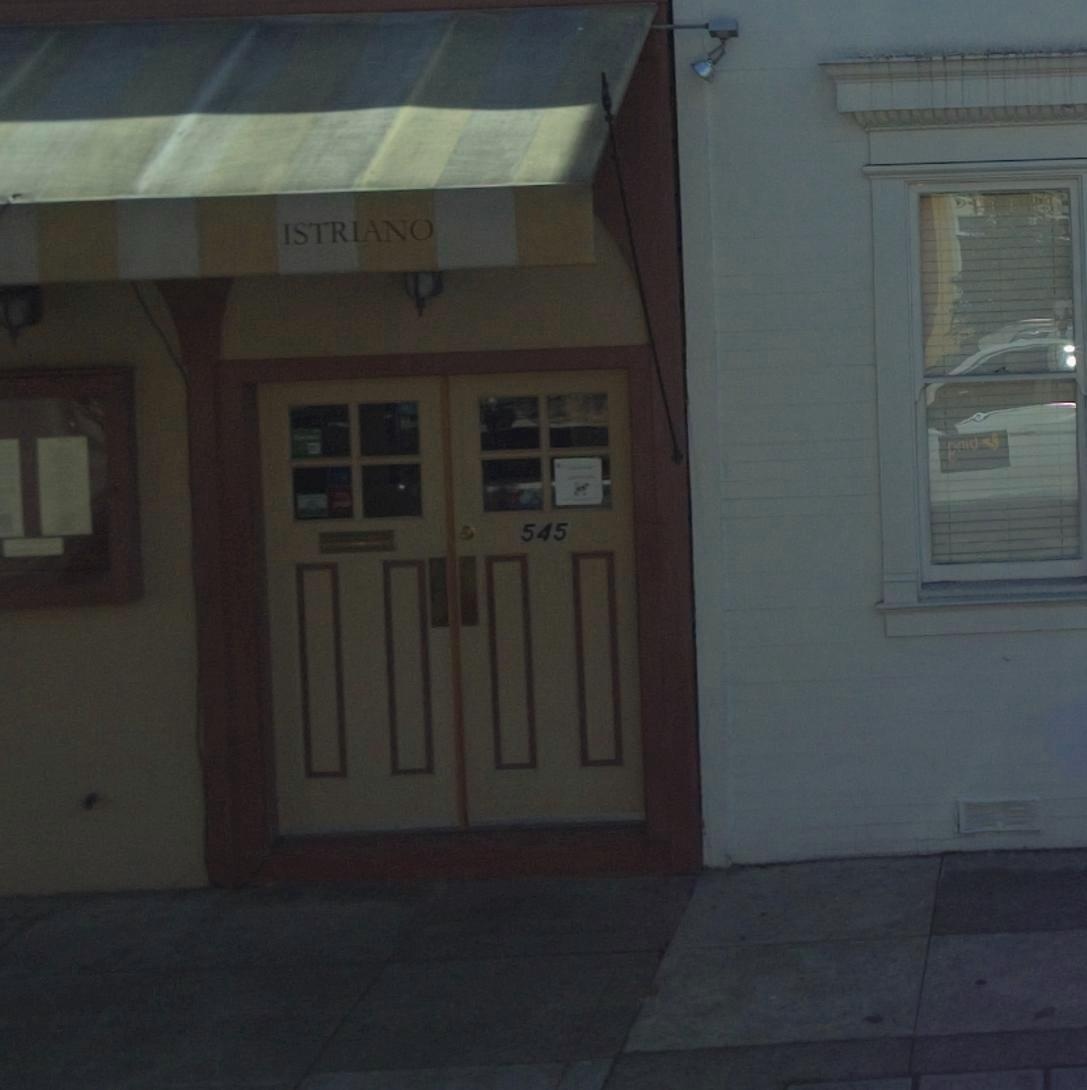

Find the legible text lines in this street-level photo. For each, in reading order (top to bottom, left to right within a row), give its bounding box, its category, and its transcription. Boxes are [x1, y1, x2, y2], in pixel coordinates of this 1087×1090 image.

[280, 215, 437, 249] BusinessName: ISTRIANO
[945, 432, 980, 464] None: *in*
[516, 521, 573, 544] StreetNumber: 545